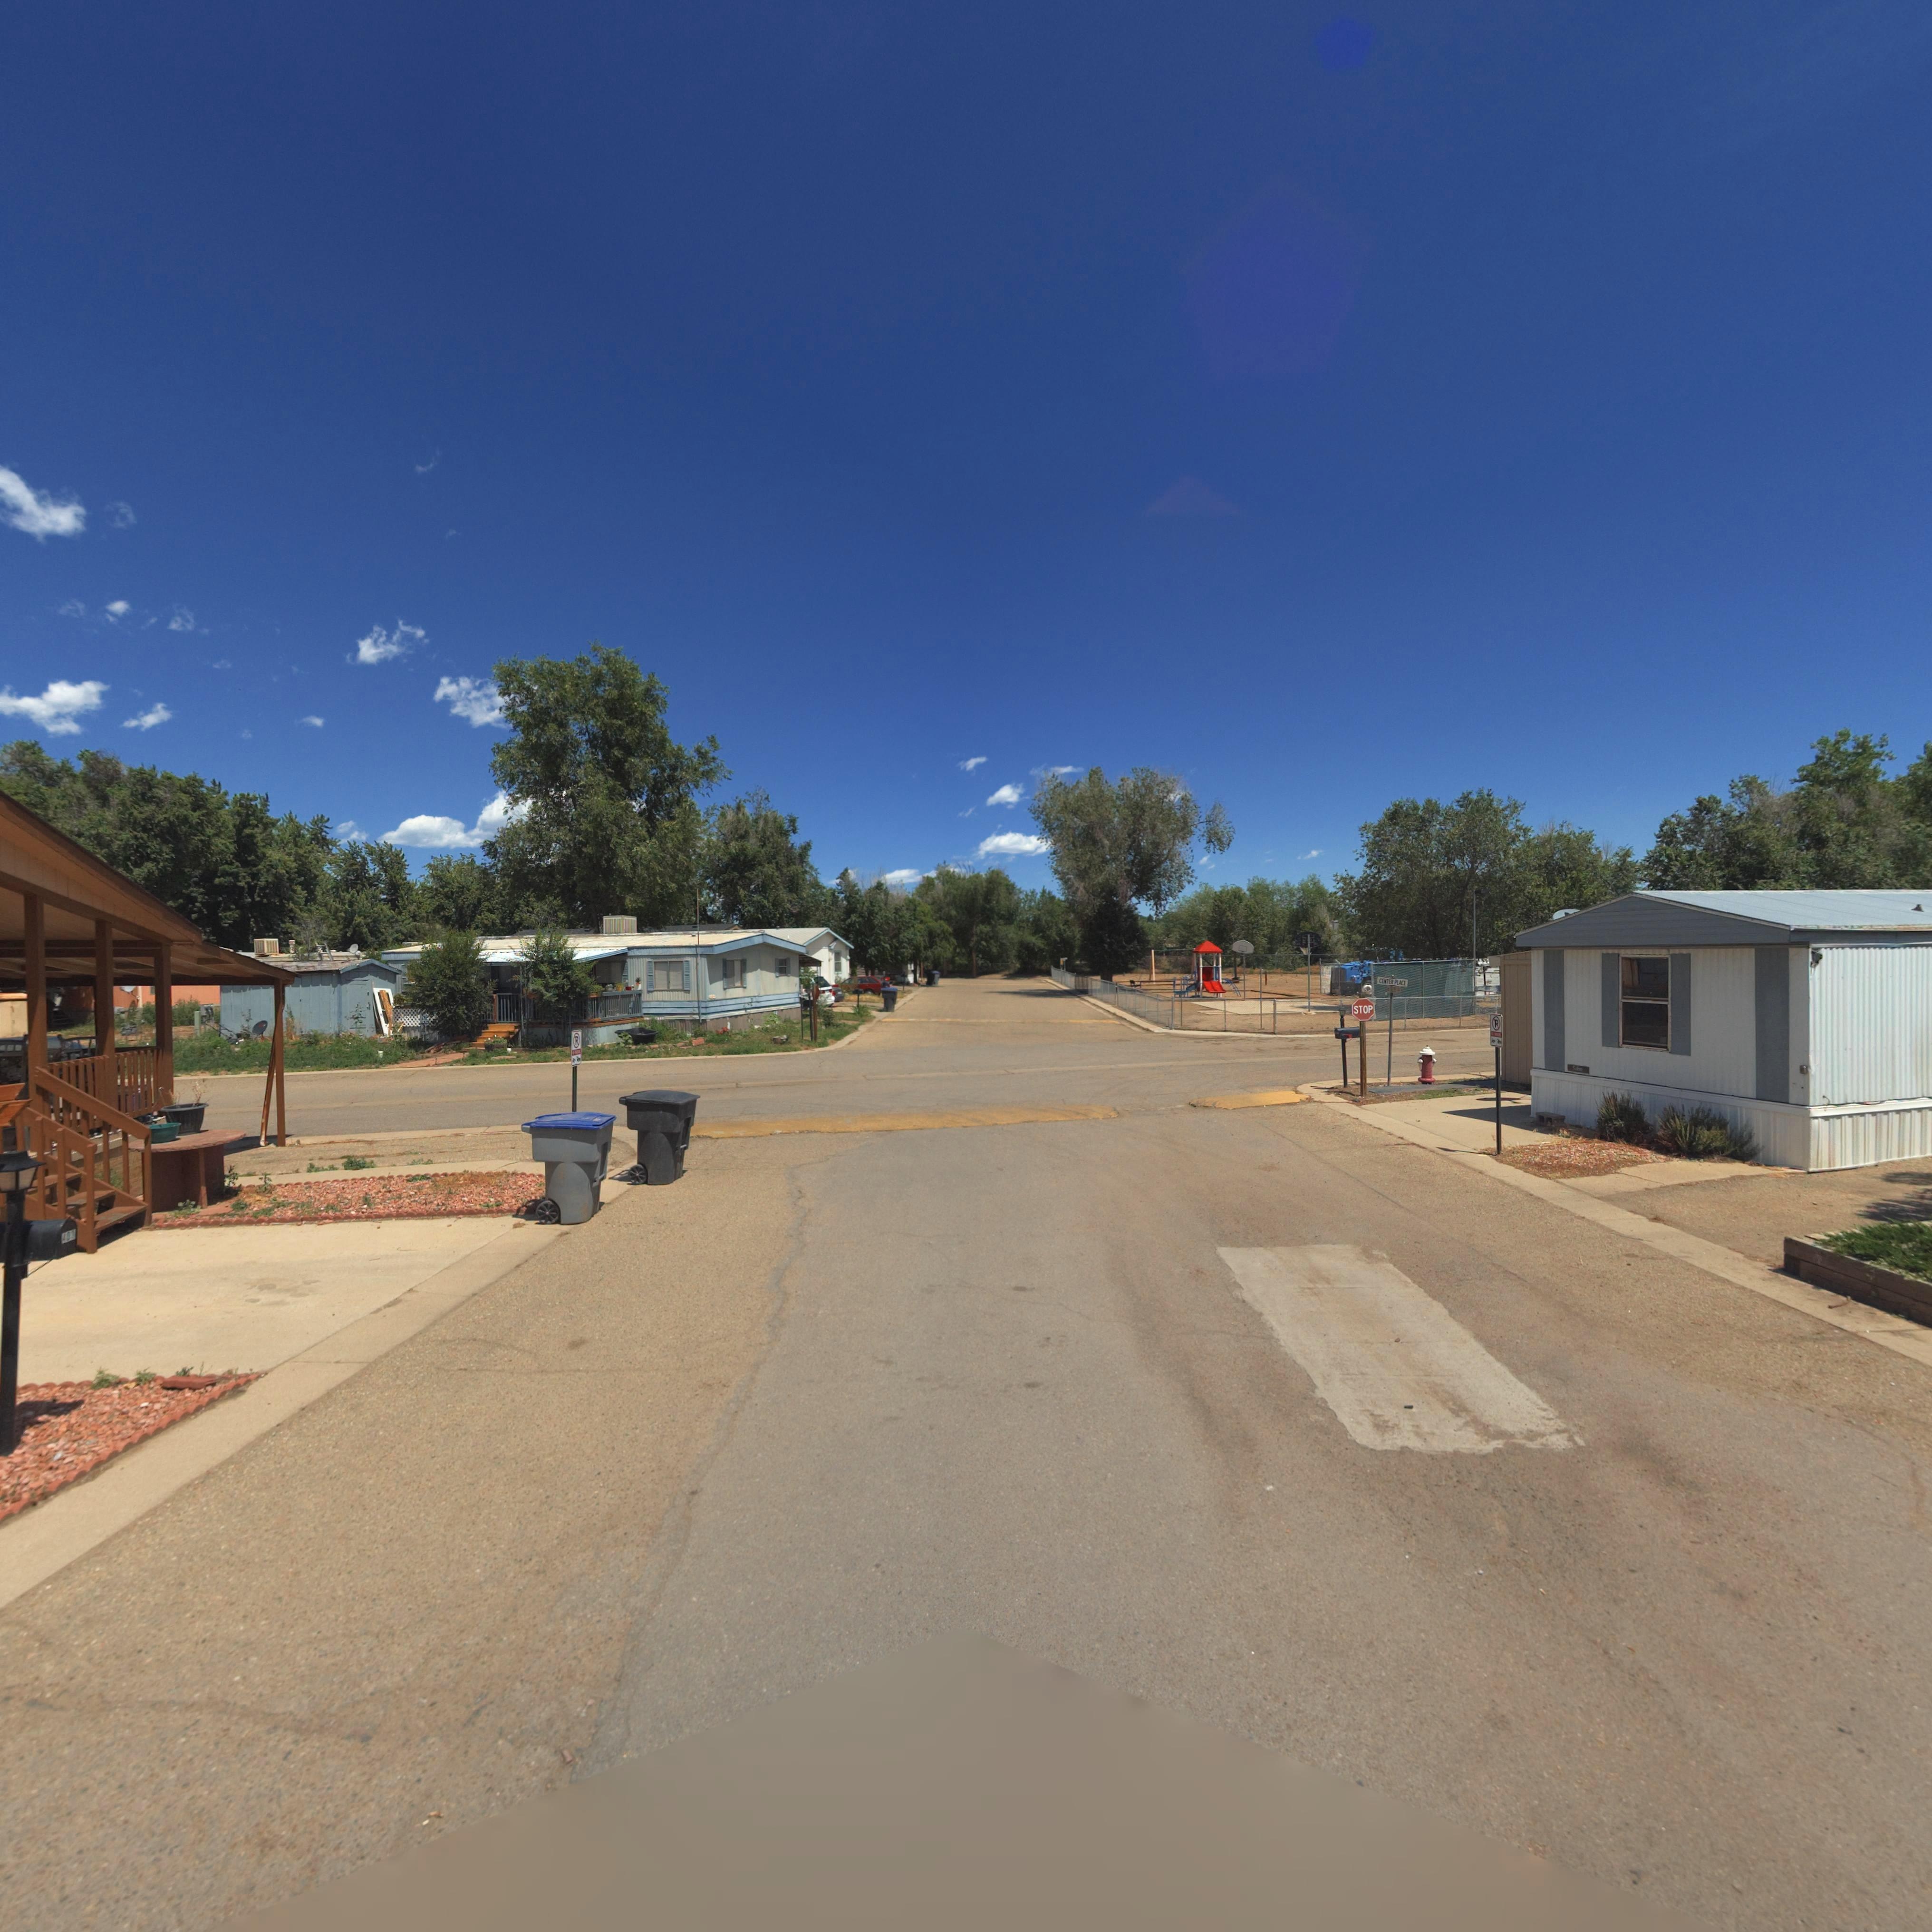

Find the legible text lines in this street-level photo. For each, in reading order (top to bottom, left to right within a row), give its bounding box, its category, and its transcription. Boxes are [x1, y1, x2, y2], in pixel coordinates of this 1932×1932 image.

[1378, 978, 1406, 985] StreetName: CENTER PLACE
[62, 1229, 75, 1243] StreetNumber: 403